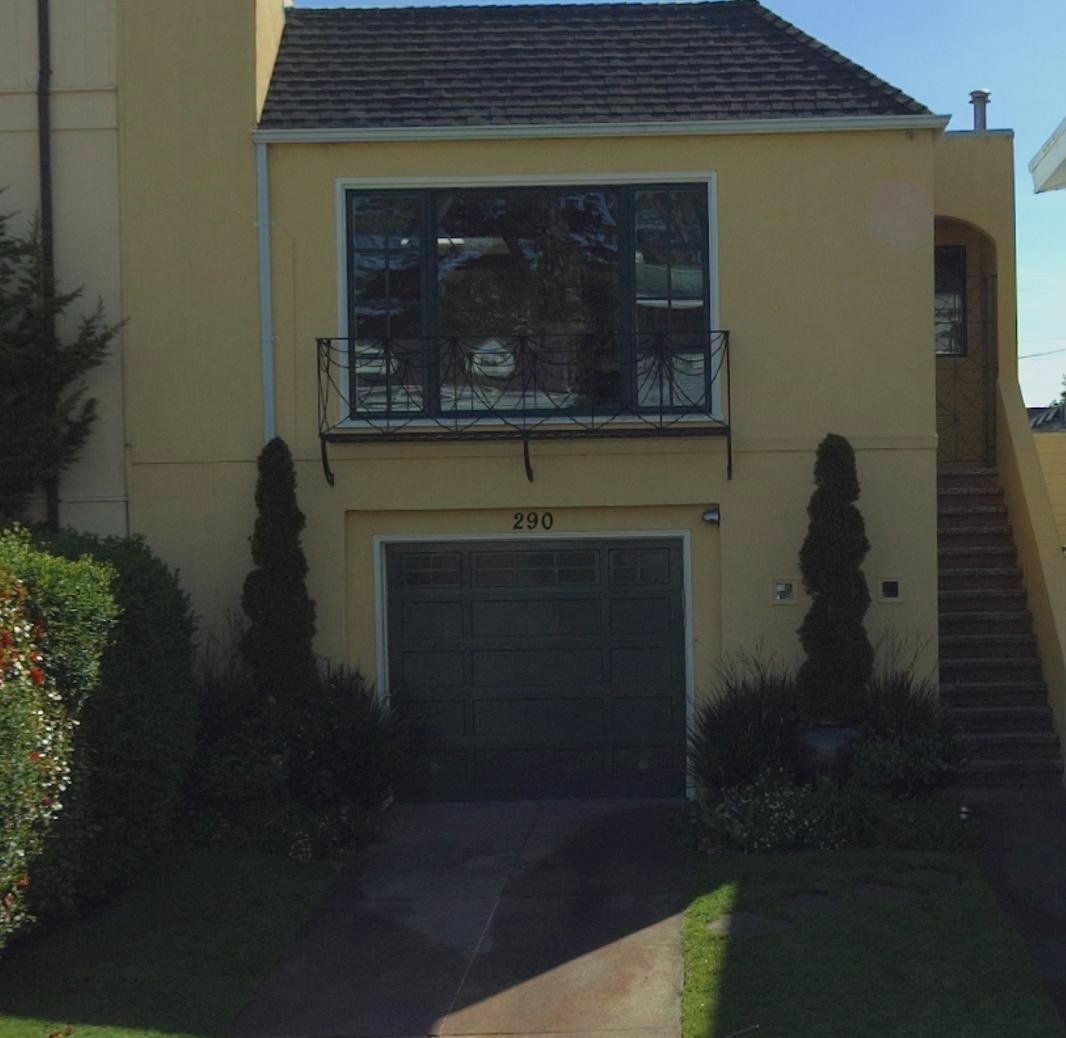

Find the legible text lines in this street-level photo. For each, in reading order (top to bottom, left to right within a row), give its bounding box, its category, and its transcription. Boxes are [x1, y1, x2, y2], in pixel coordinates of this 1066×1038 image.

[511, 510, 555, 531] StreetNumber: 290